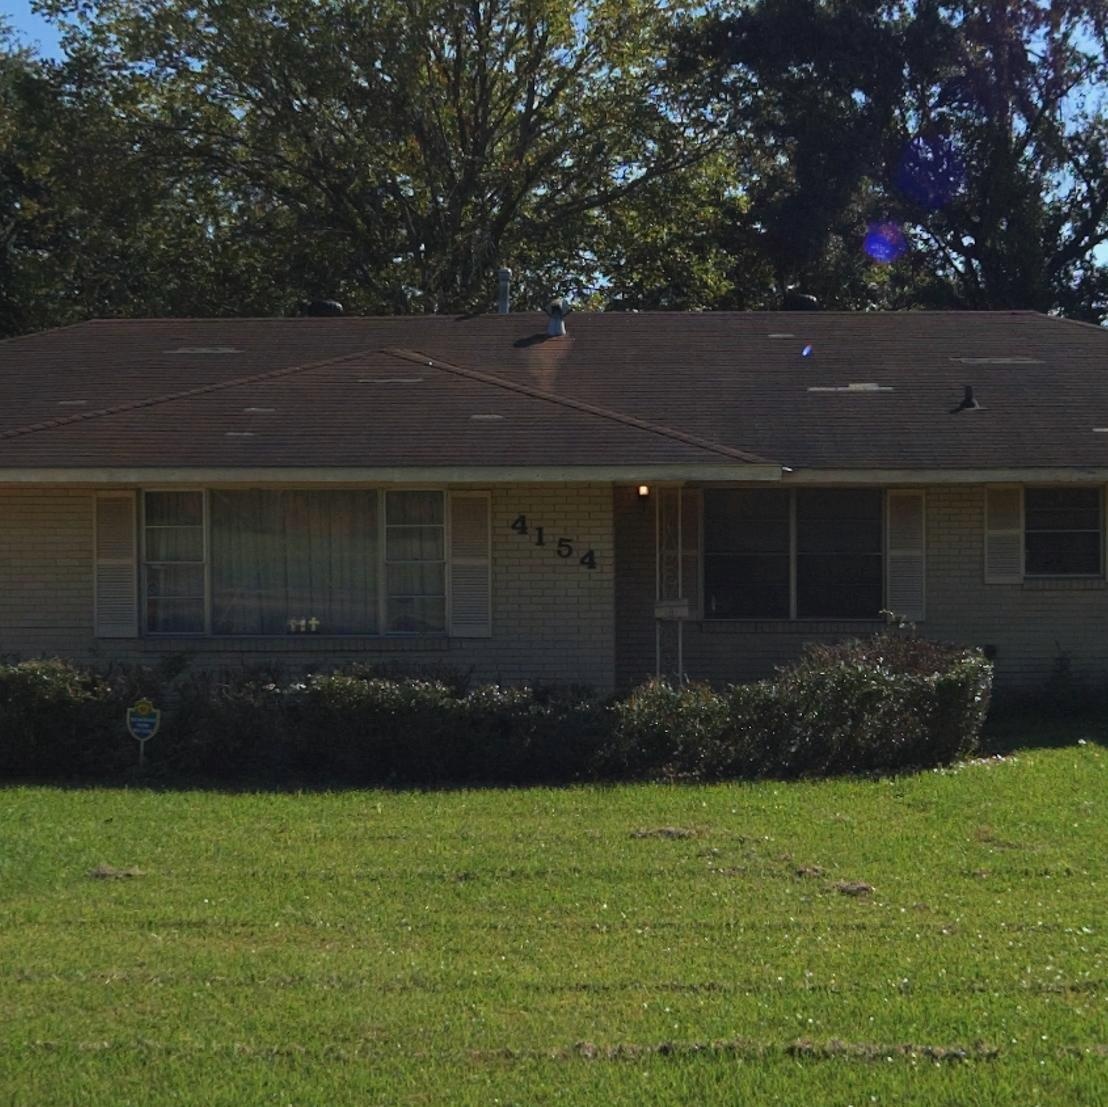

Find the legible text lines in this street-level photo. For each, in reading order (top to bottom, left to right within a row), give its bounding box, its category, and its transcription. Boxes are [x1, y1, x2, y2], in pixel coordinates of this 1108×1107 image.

[509, 513, 598, 571] StreetNumber: 4154